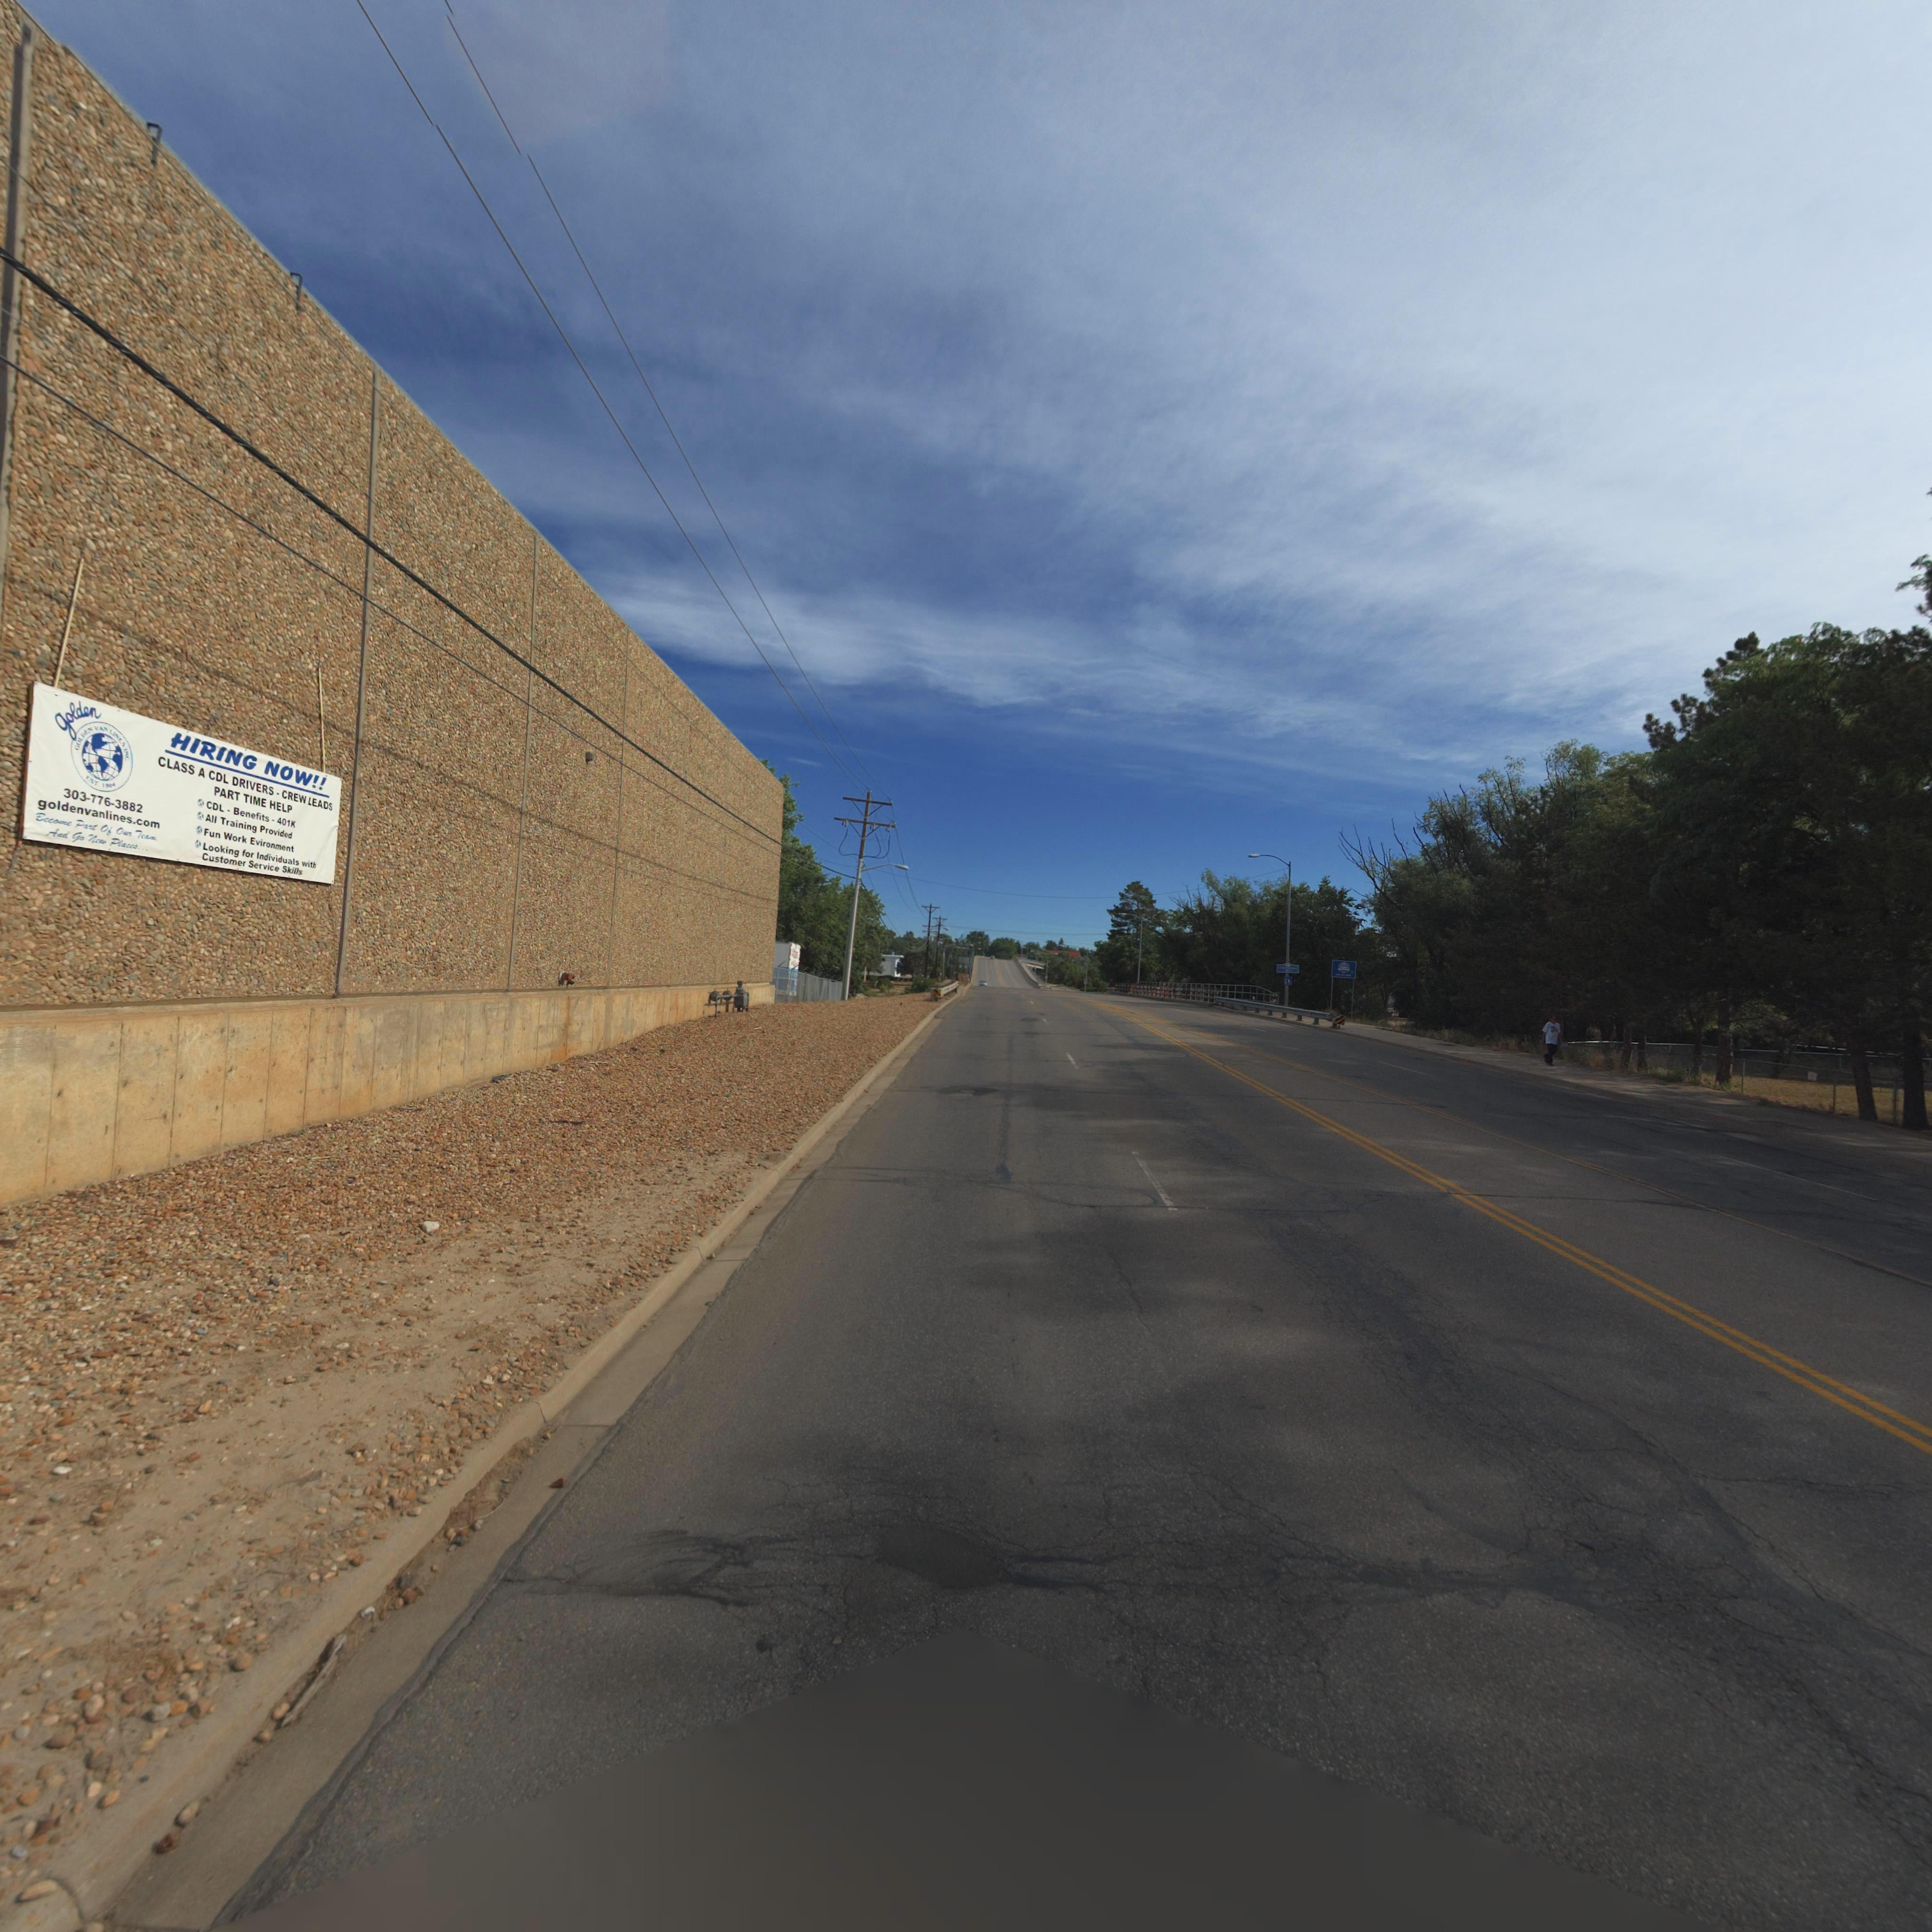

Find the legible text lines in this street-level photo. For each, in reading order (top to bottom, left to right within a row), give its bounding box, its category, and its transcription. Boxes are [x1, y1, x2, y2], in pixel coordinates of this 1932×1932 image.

[53, 699, 103, 743] BusinessName: golden
[73, 724, 130, 762] BusinessName: *OLD*N VAN LI*ES I*C